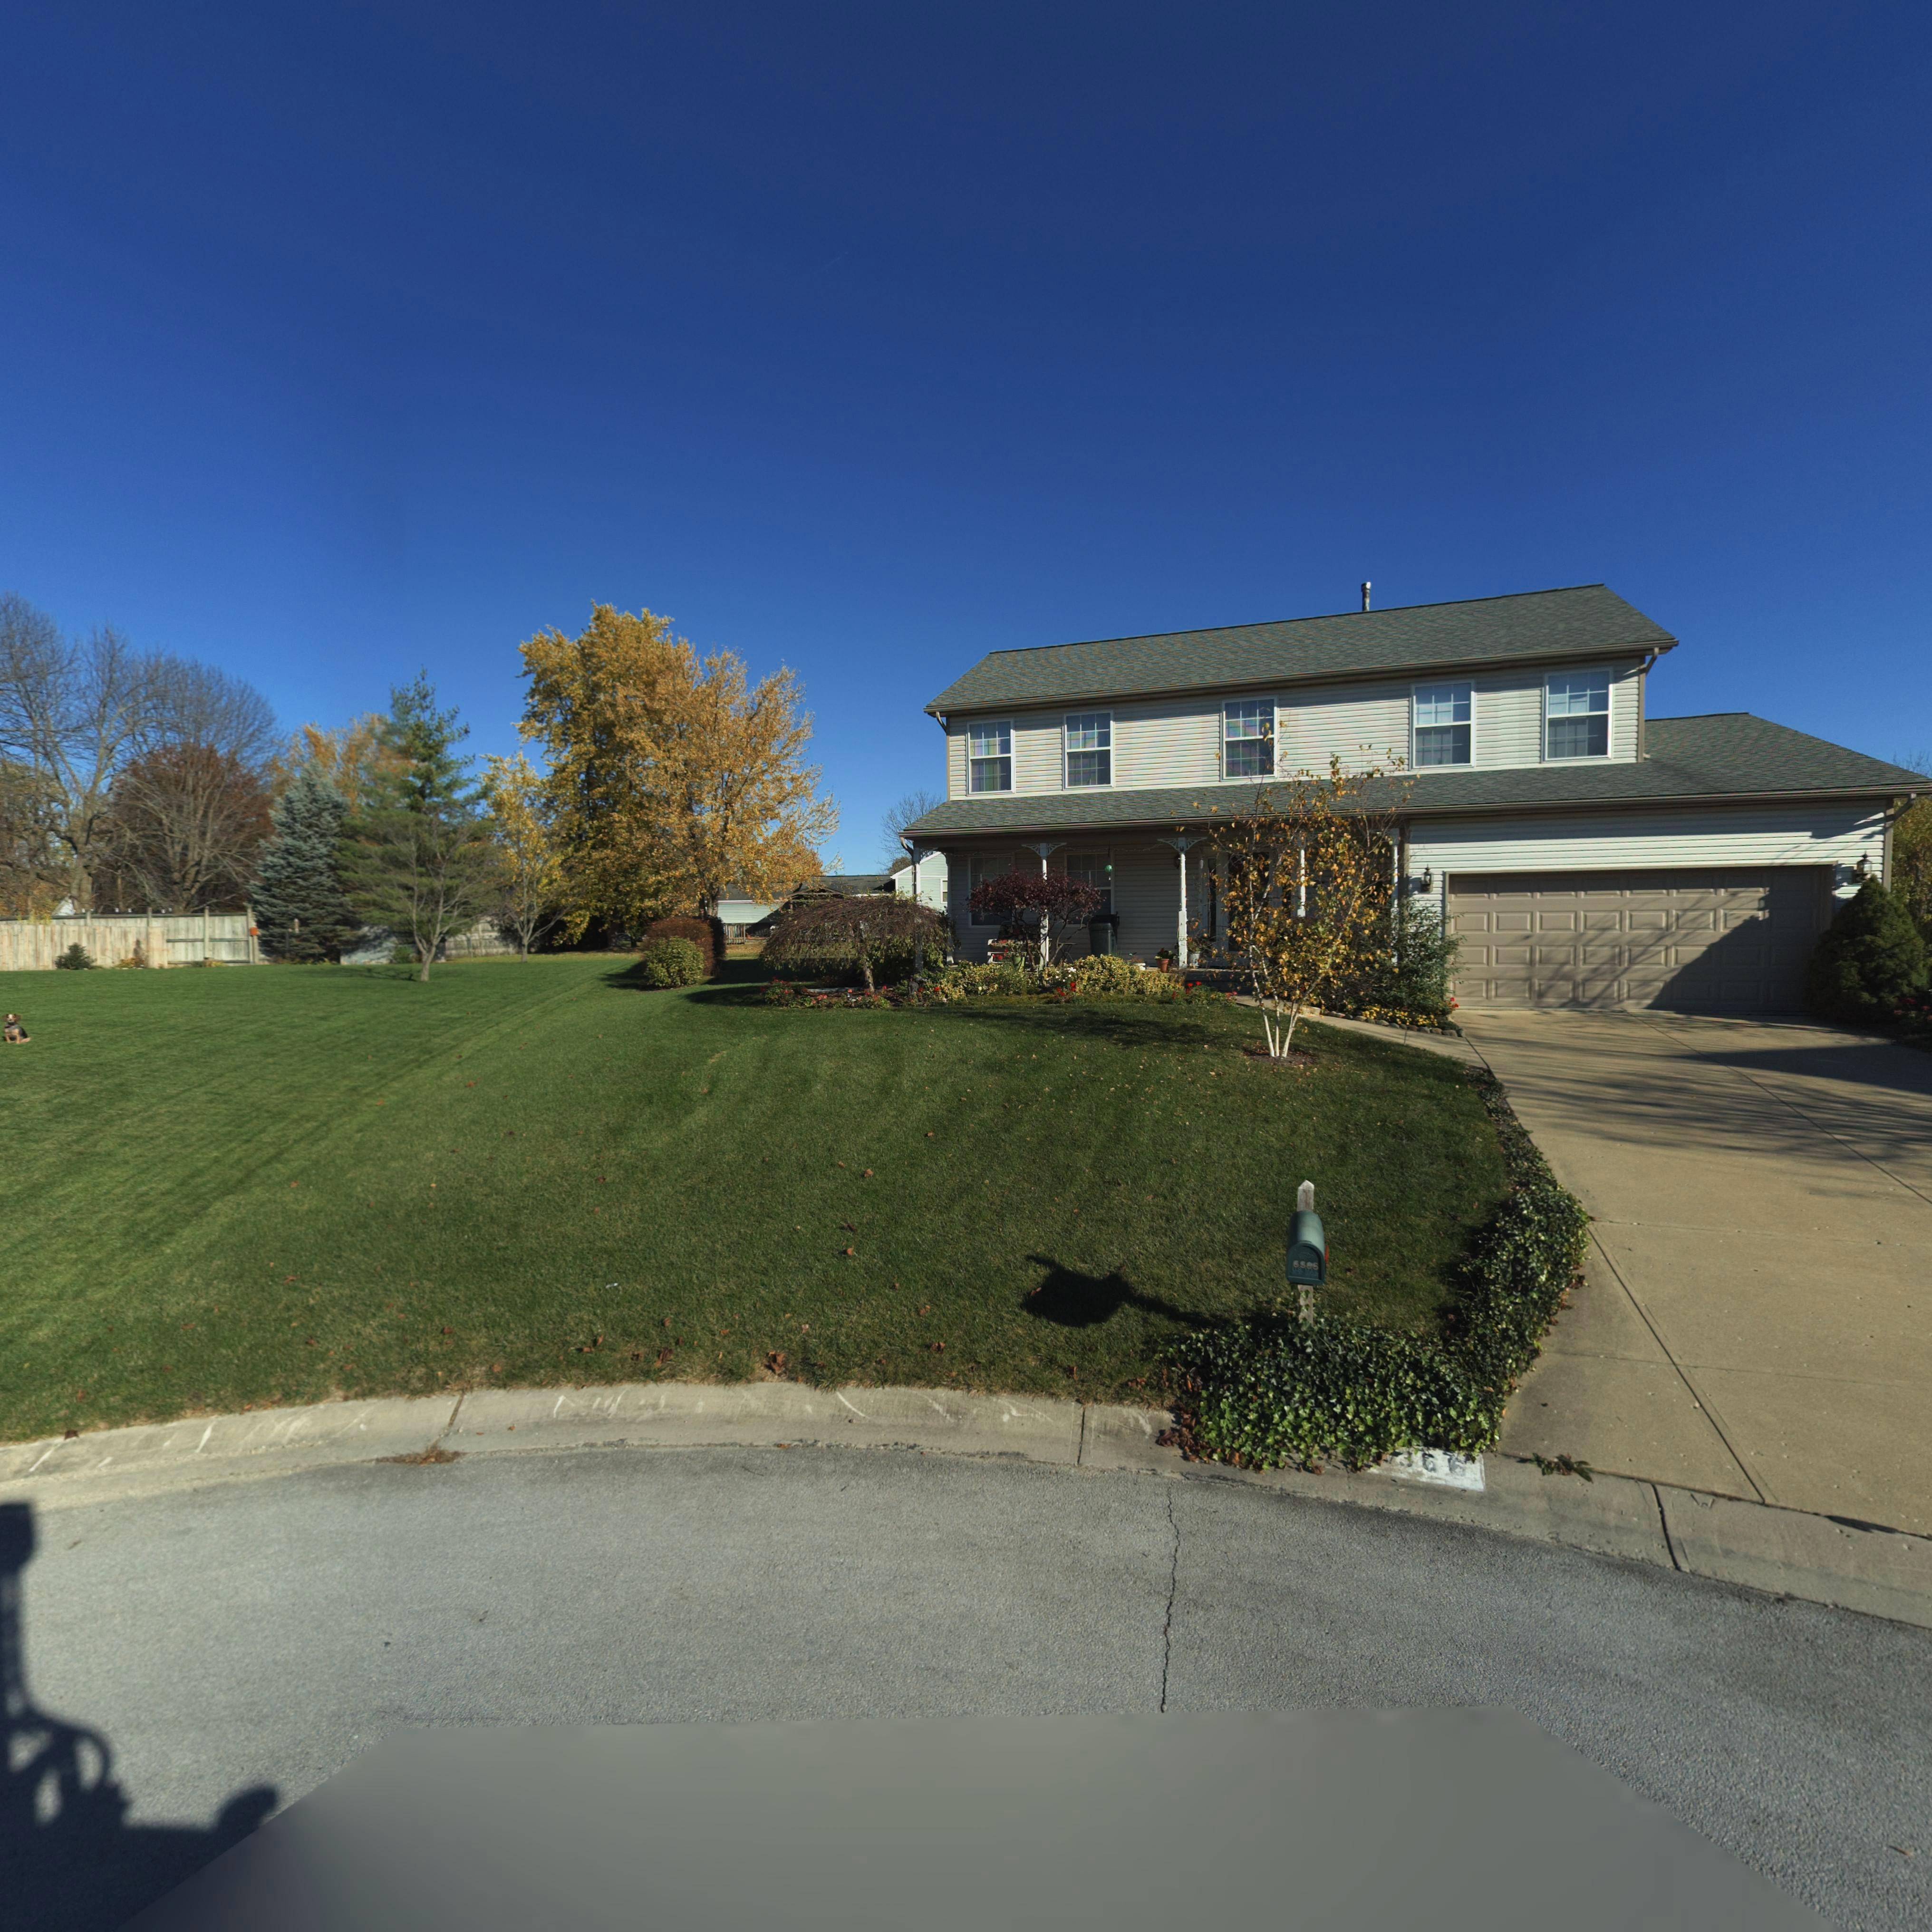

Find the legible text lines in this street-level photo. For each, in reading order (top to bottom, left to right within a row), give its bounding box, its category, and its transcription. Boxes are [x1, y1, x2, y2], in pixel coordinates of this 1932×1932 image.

[1292, 1260, 1319, 1271] StreetNumber: 63*6
[1397, 1448, 1467, 1479] StreetNumber: 366